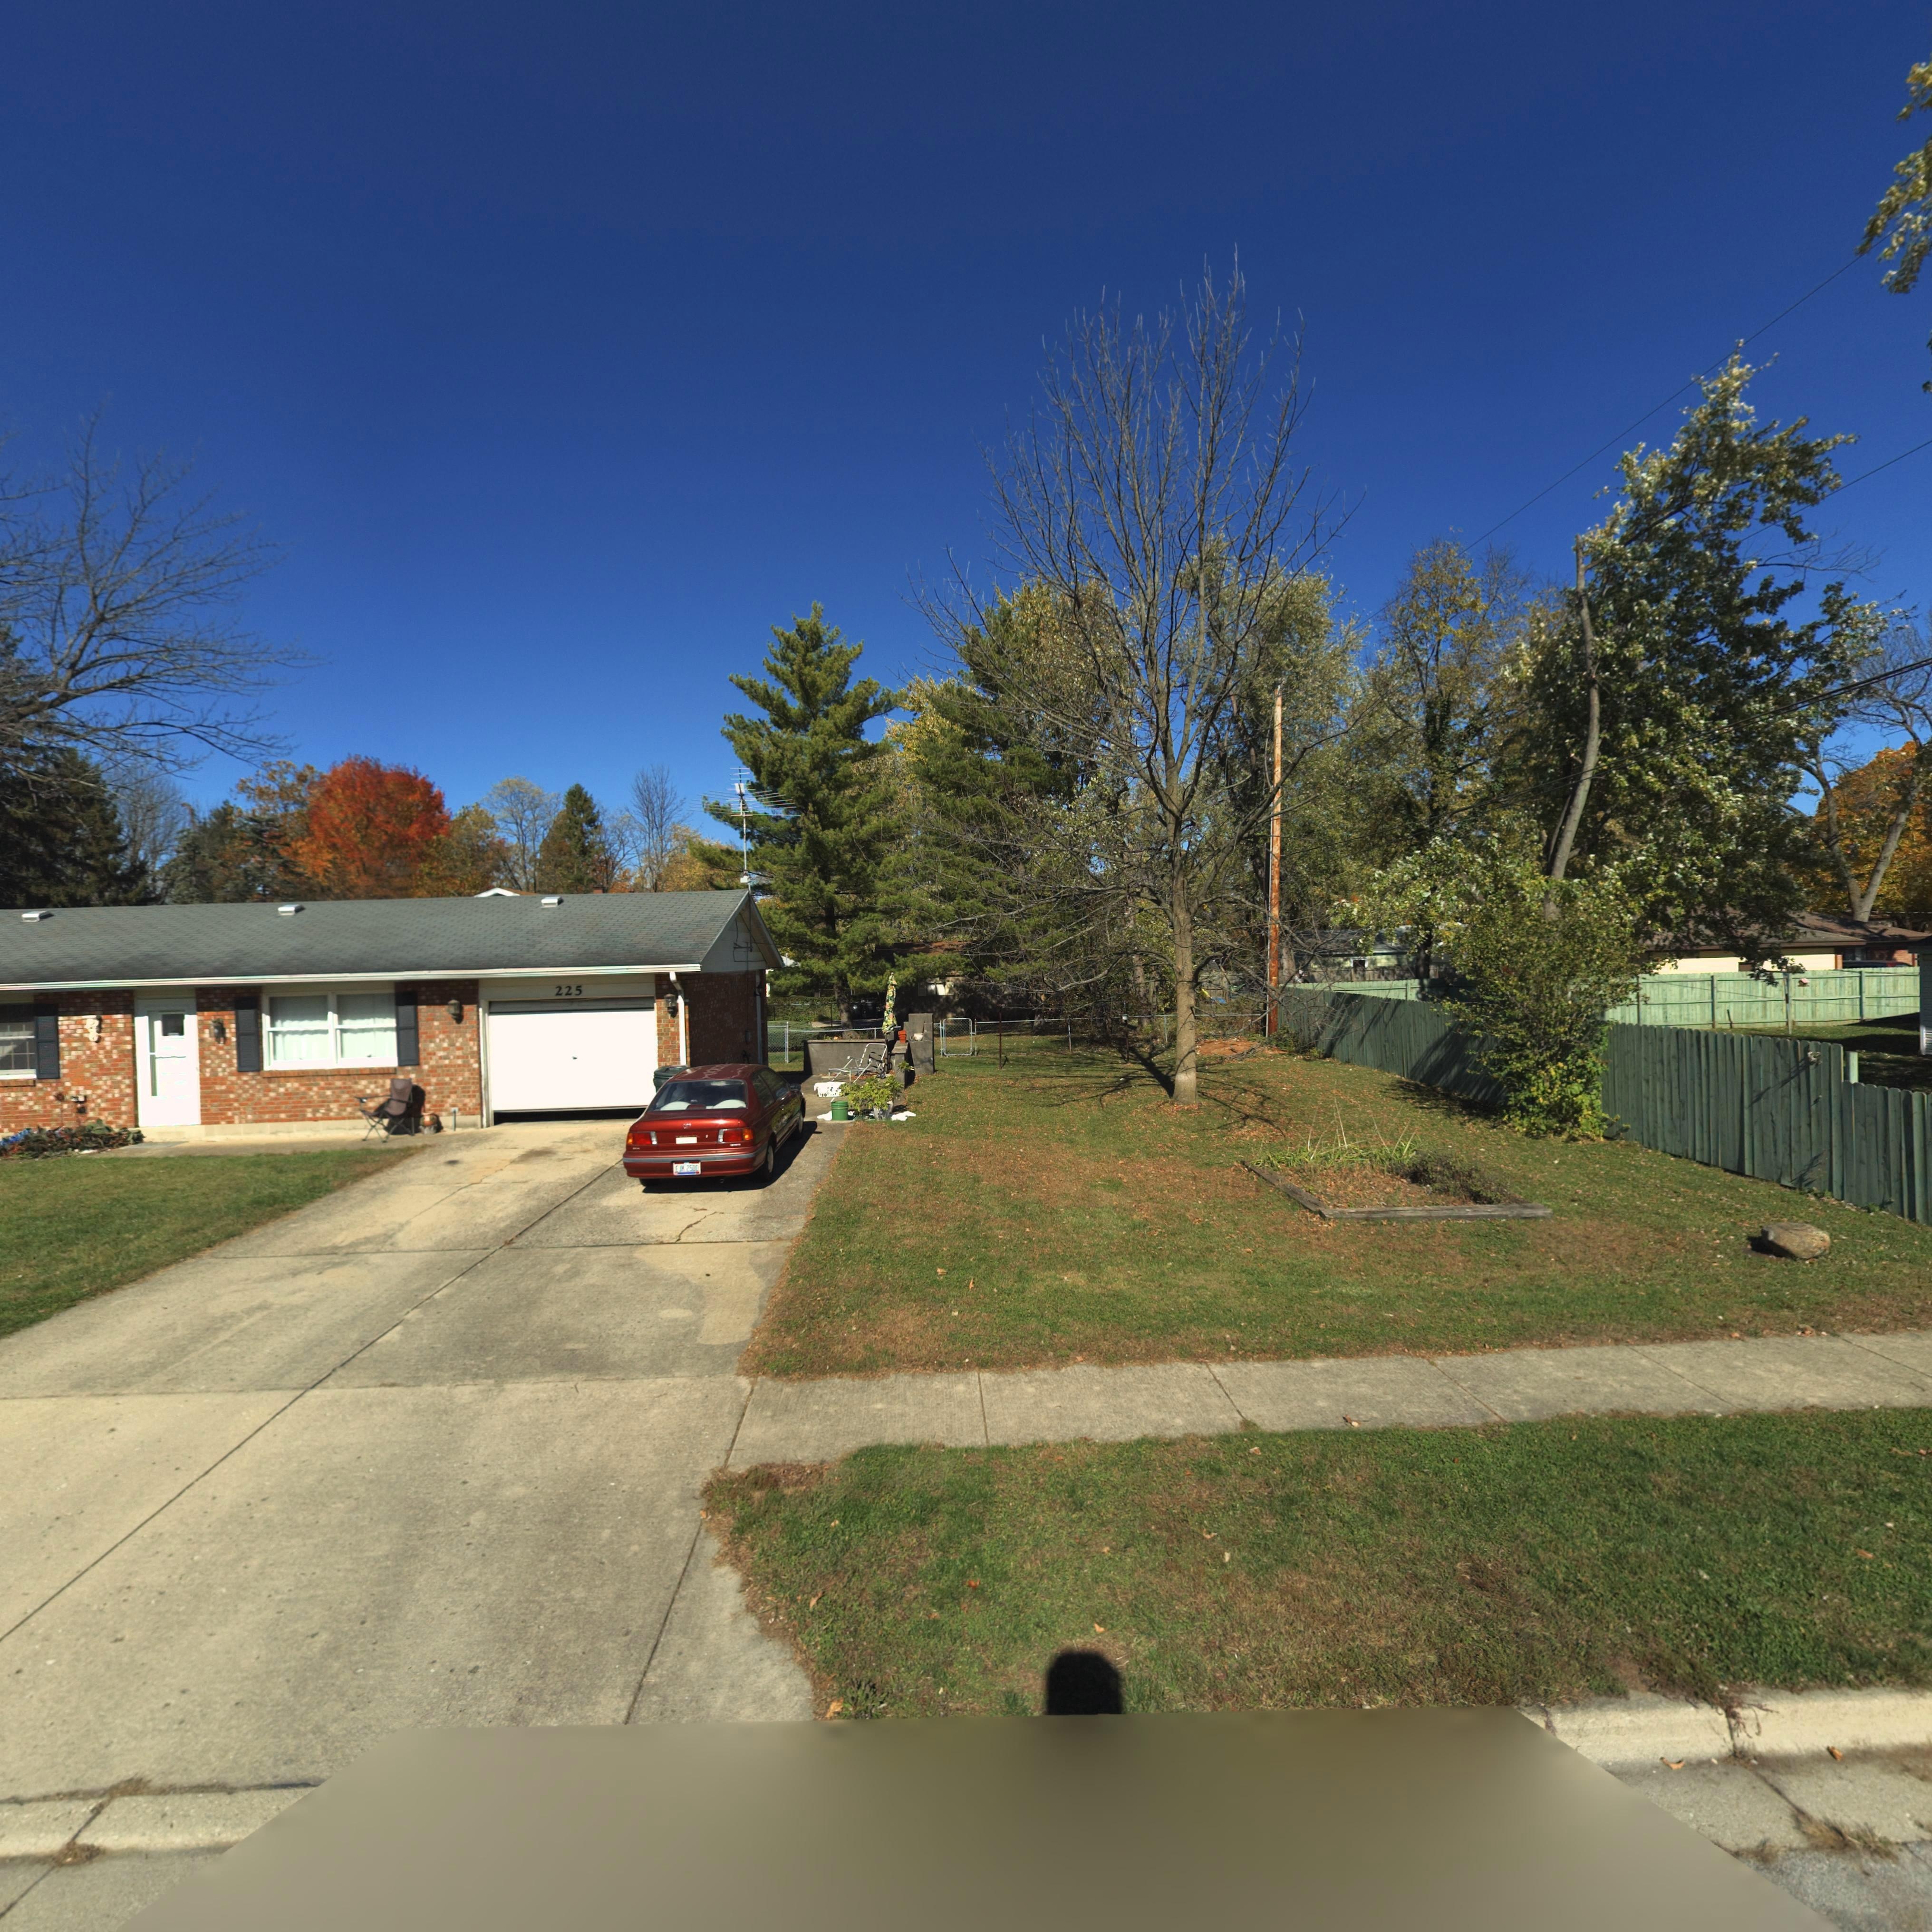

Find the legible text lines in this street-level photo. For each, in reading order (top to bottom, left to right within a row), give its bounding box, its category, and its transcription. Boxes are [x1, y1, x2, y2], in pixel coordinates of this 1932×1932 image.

[554, 985, 583, 996] StreetNumber: 225